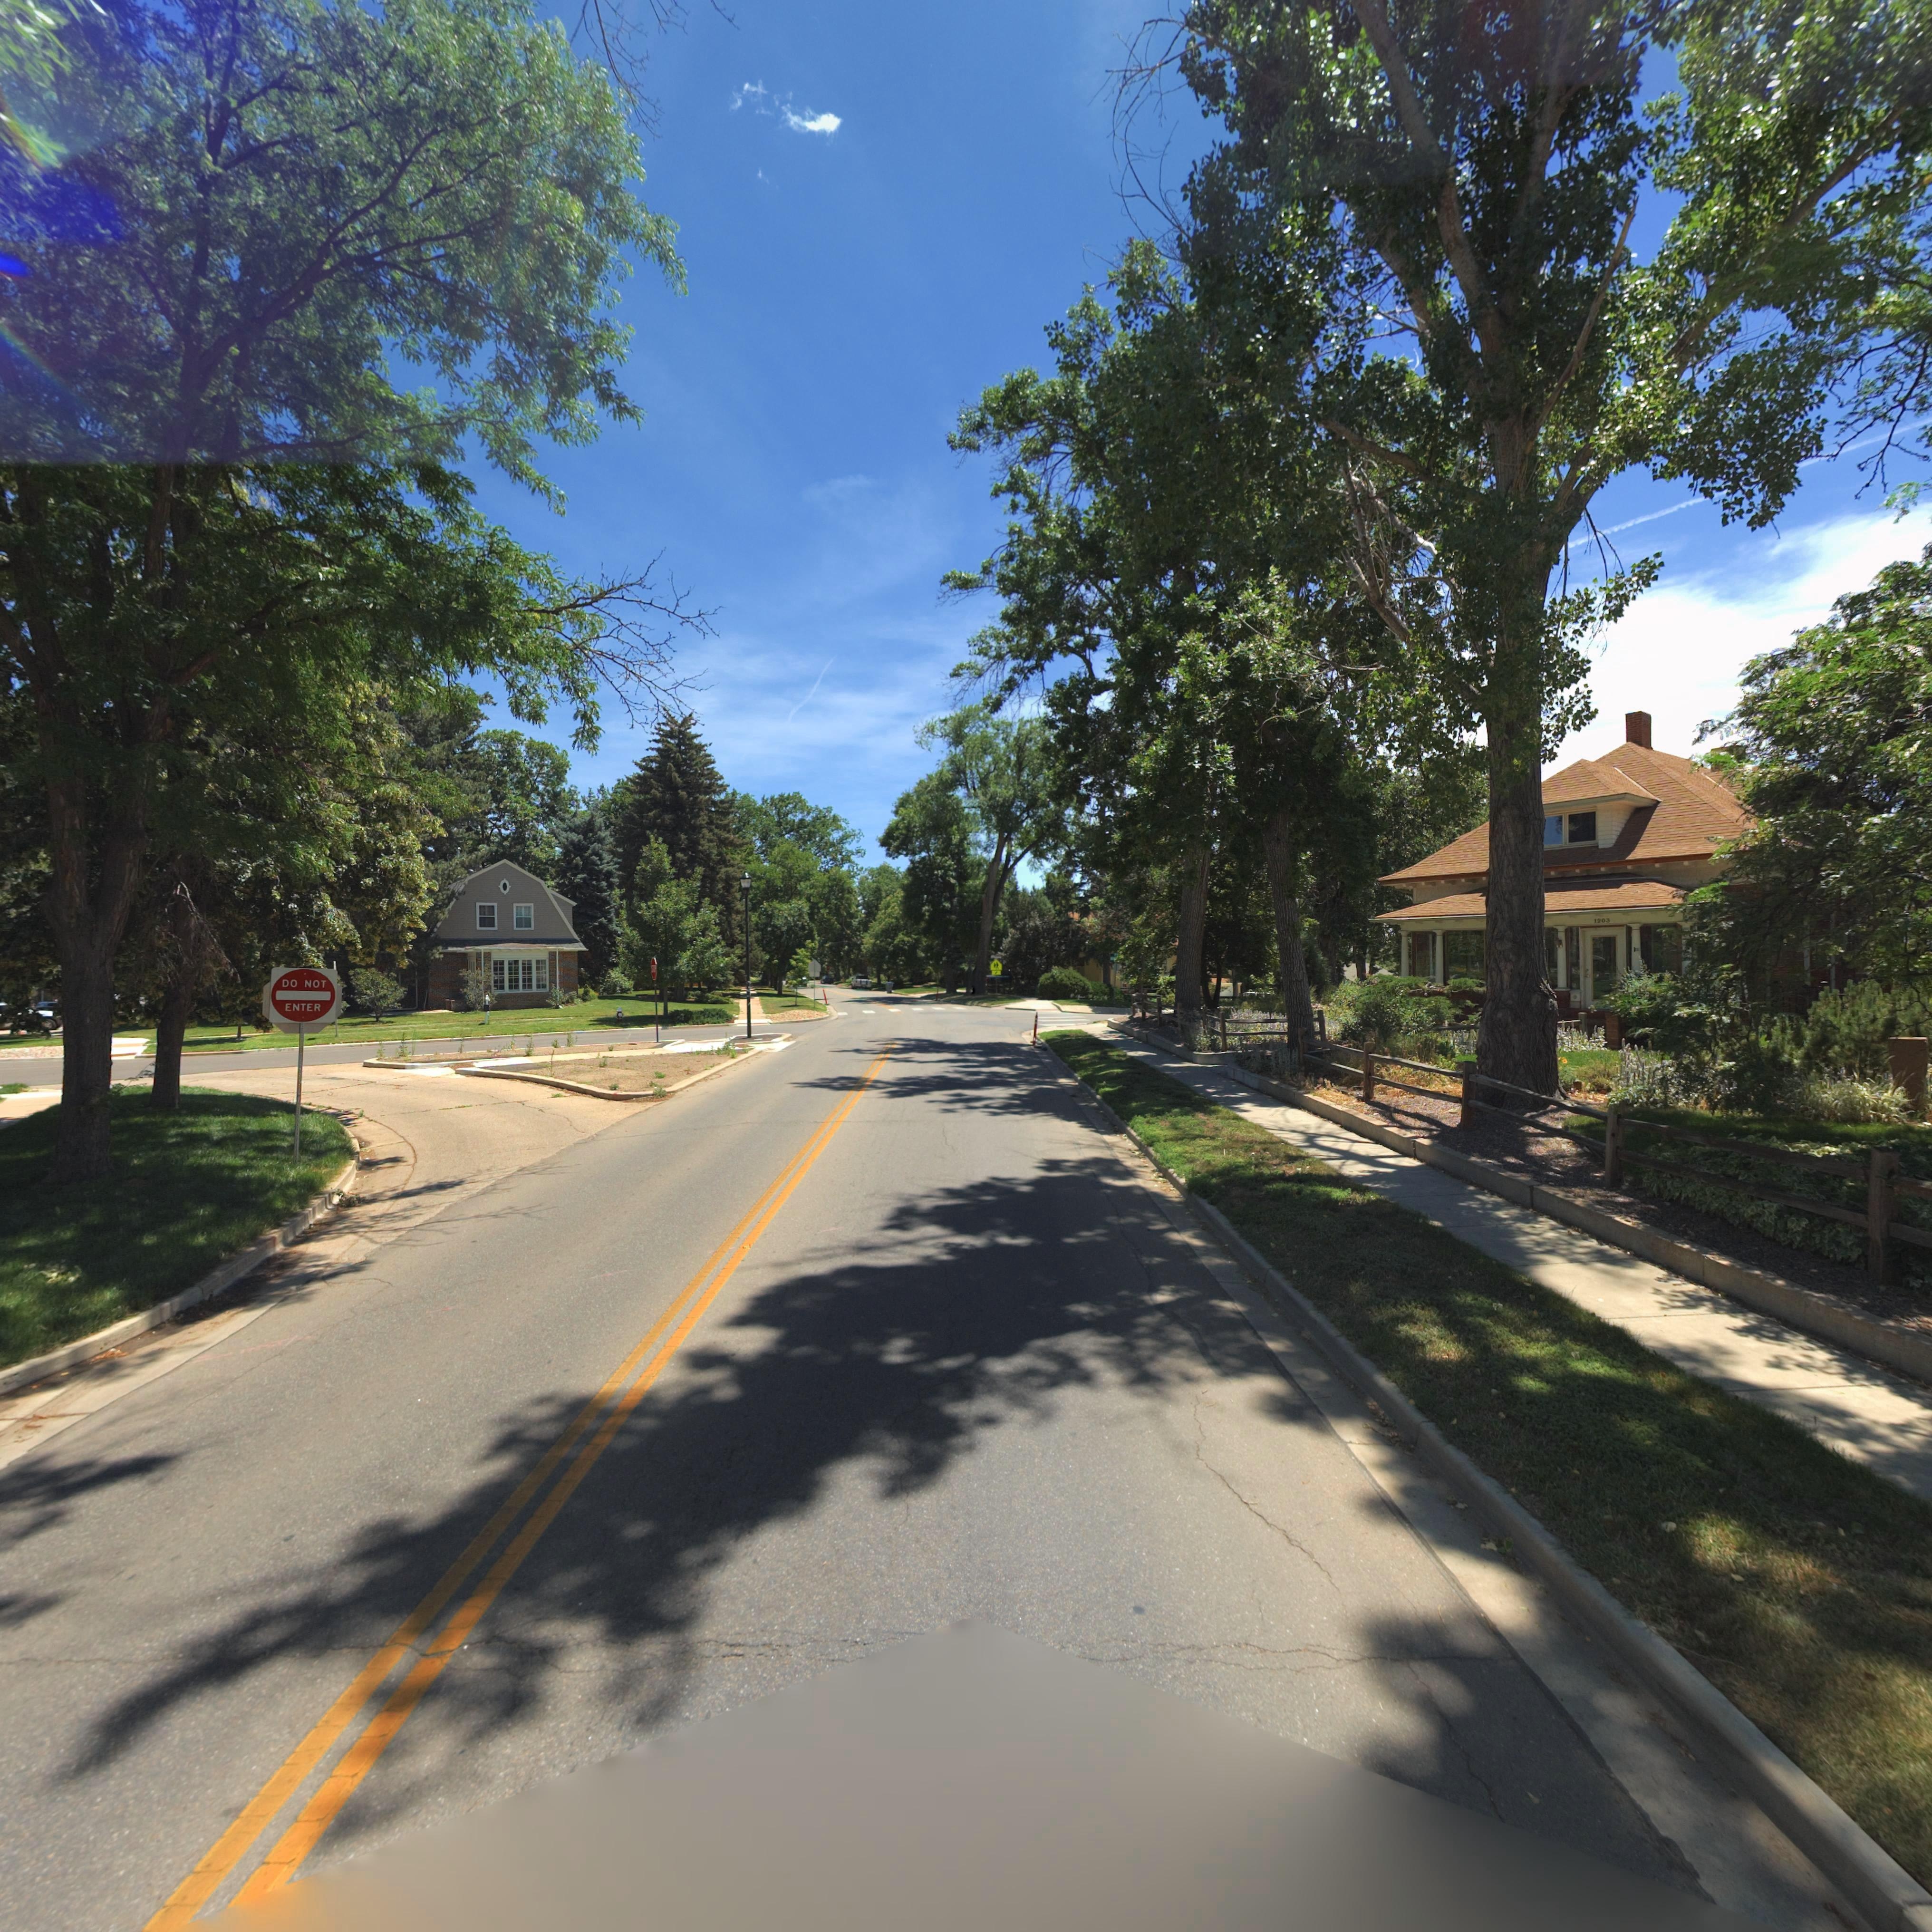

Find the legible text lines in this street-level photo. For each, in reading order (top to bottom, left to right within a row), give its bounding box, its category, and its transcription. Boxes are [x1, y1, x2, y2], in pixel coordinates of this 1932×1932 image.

[1594, 918, 1610, 923] StreetNumber: 1203